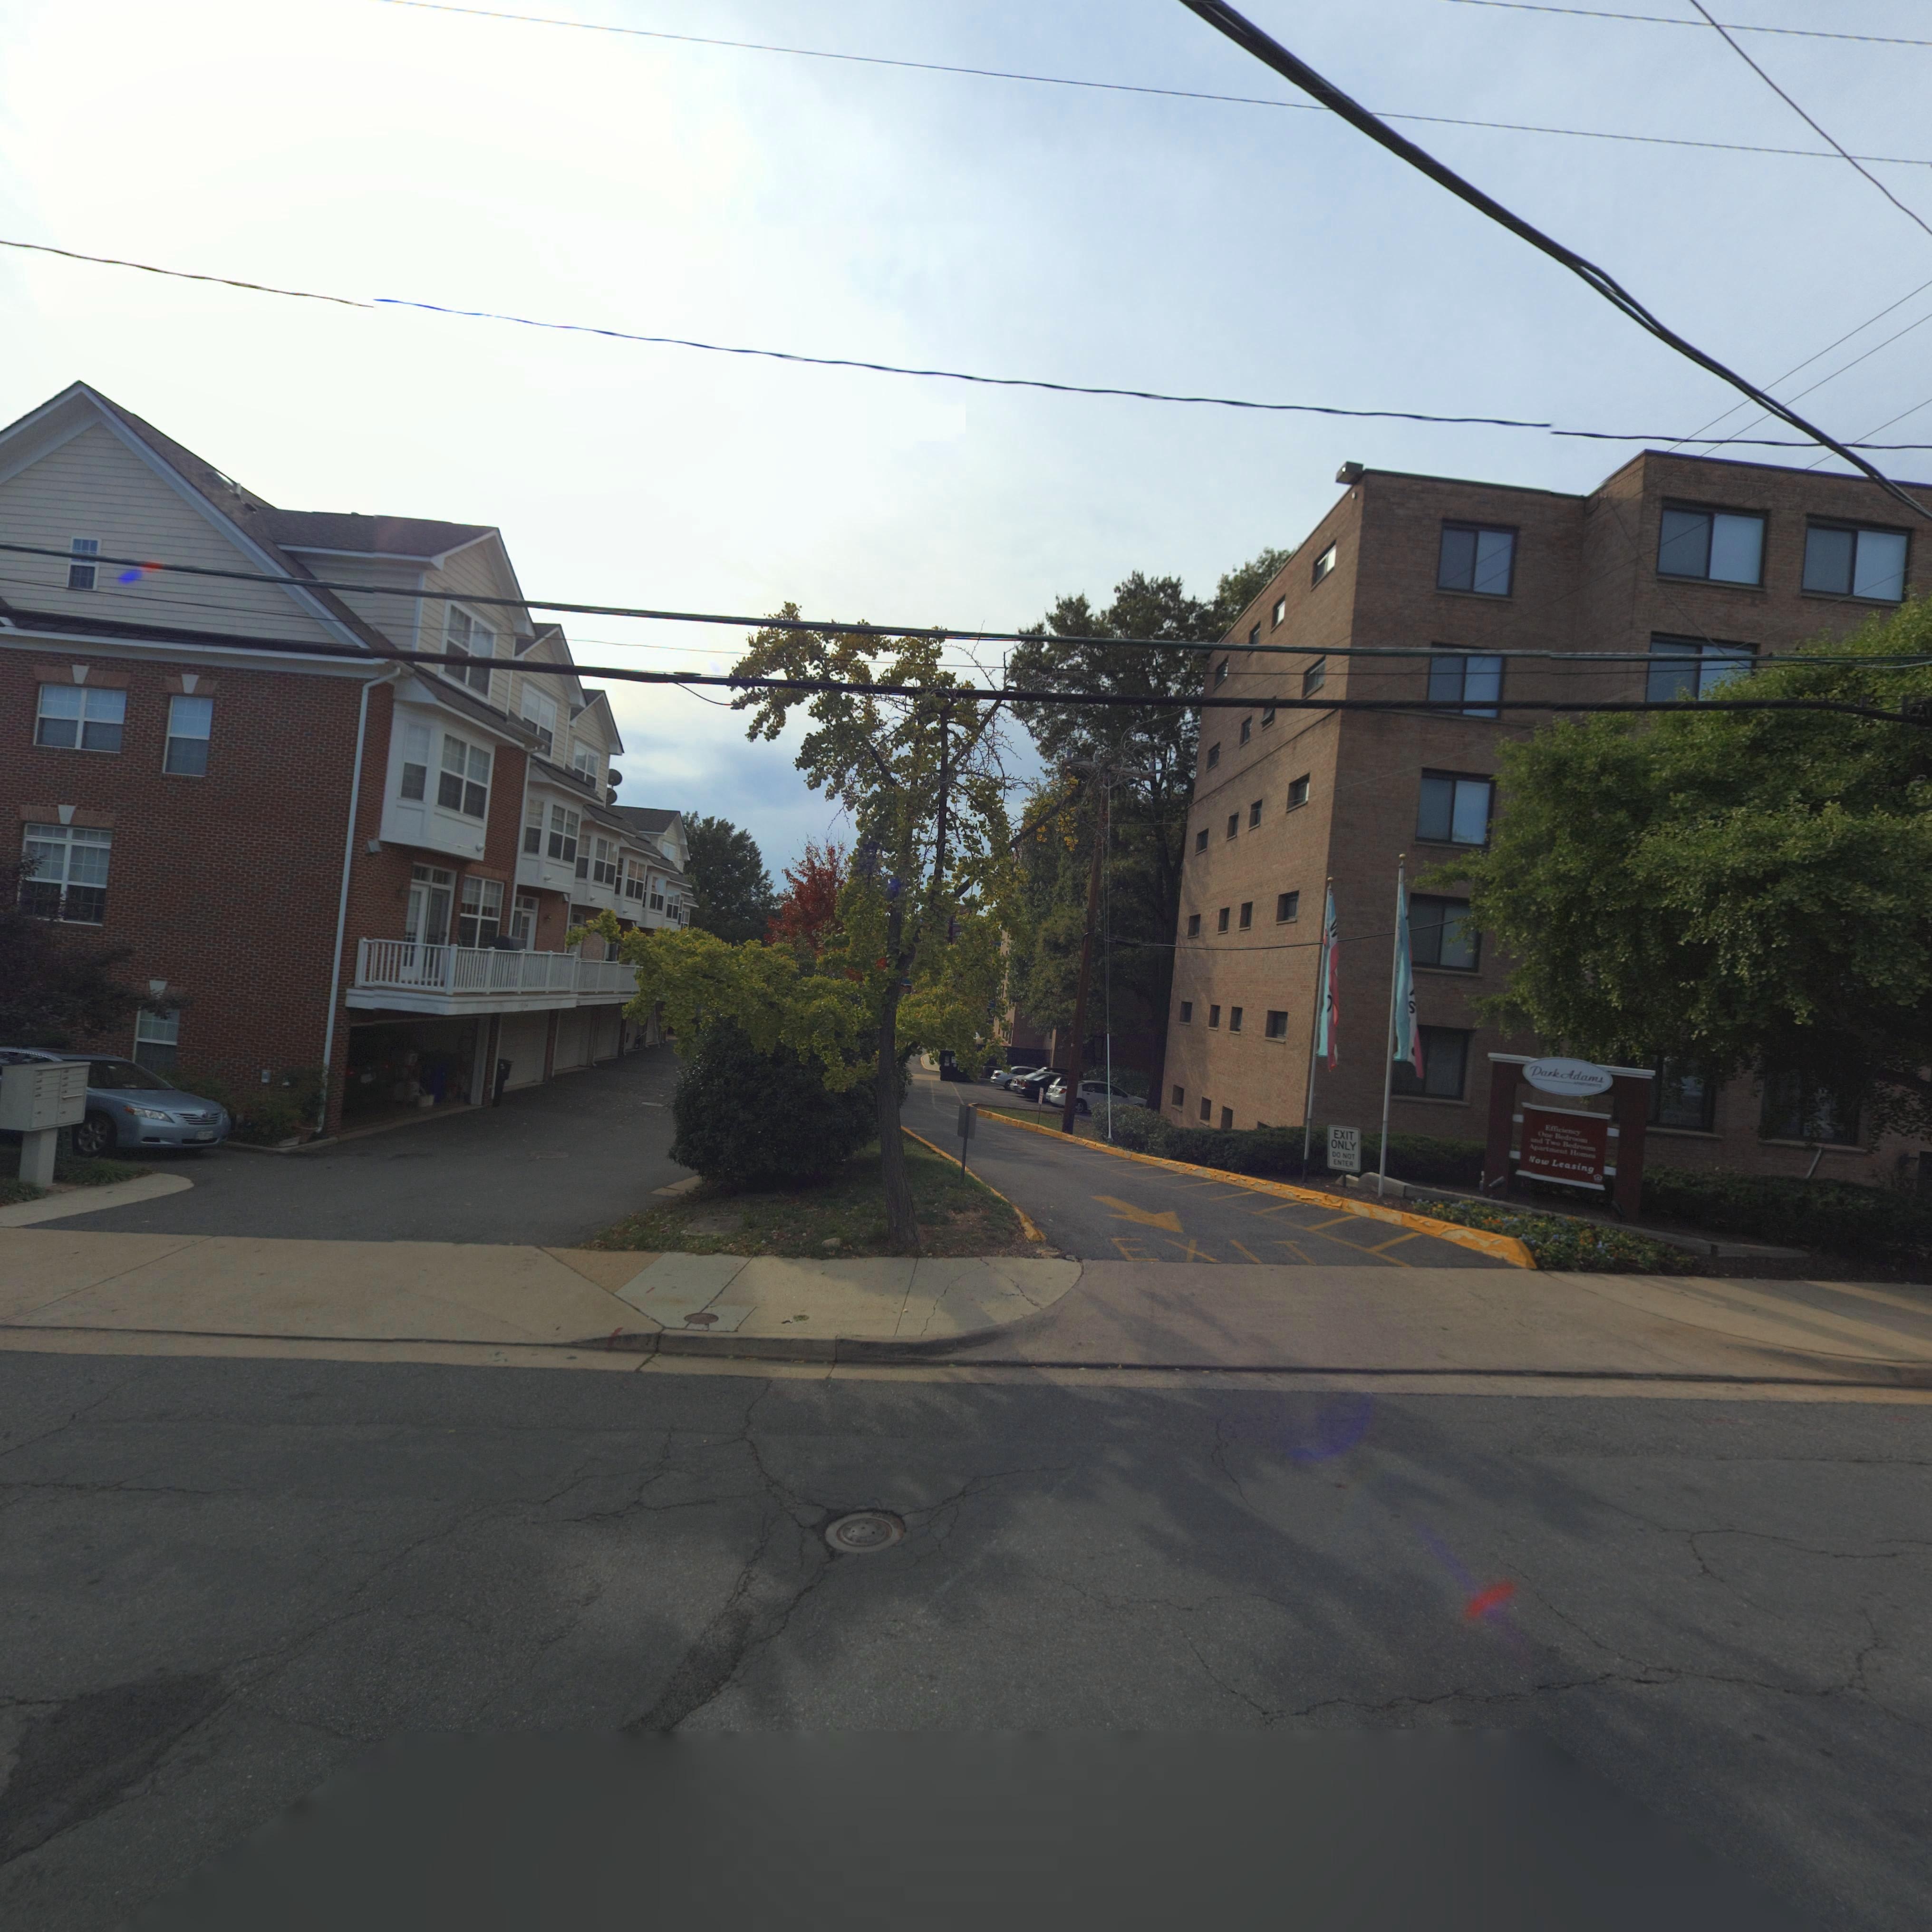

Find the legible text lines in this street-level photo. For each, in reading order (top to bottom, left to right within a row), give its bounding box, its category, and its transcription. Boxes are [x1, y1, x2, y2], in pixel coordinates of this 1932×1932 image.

[1528, 1065, 1605, 1083] BusinessName: DarkAdams
[1573, 1081, 1602, 1088] None: APARTMENTS
[1333, 1129, 1355, 1141] None: EXIT
[1537, 1130, 1589, 1144] None: One Bedroom
[1545, 1123, 1582, 1136] None: Efficiency
[1332, 1151, 1356, 1160] None: DO NOT
[1330, 1139, 1358, 1151] None: ONLY
[1529, 1135, 1597, 1153] None: and Two Bedroom
[1530, 1143, 1597, 1160] None: Apartment Homes
[1333, 1158, 1353, 1168] None: ENTER
[1528, 1155, 1595, 1176] None: Now Leasing
[1107, 1237, 1322, 1265] None: EXIT